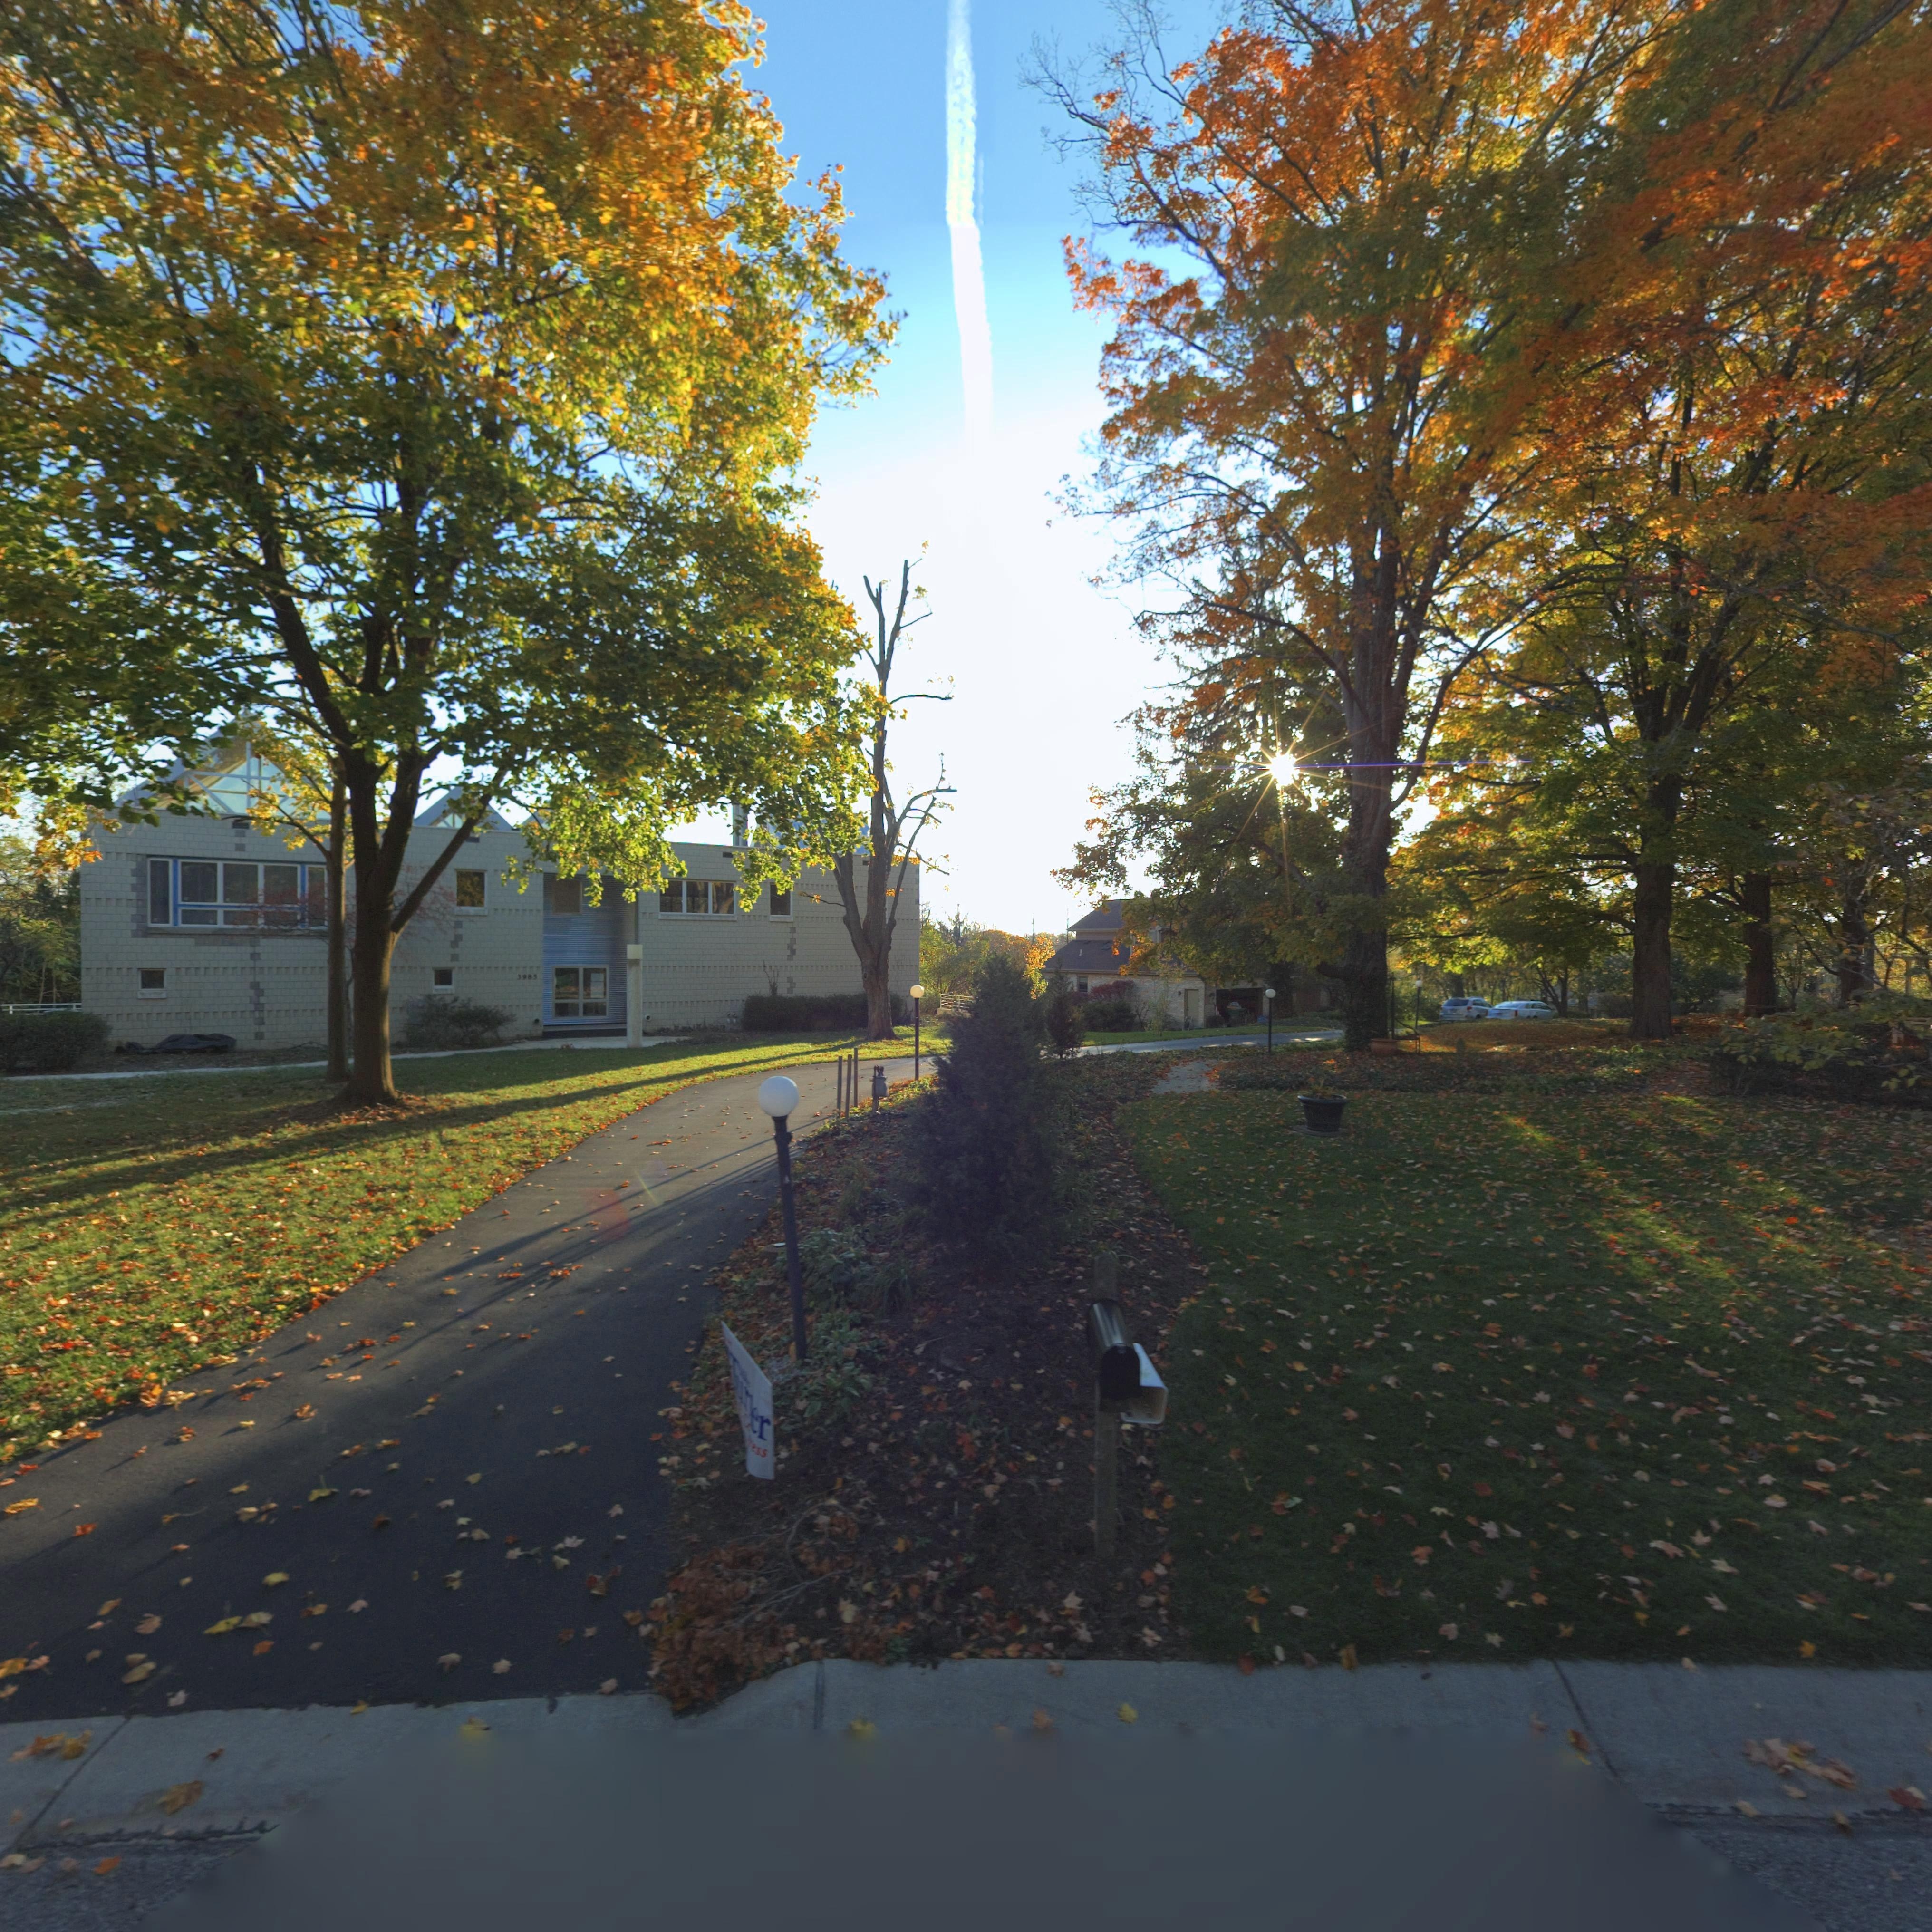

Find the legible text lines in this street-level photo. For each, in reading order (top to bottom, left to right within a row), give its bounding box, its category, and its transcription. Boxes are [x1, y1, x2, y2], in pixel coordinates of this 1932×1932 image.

[516, 973, 537, 981] StreetNumber: 3985